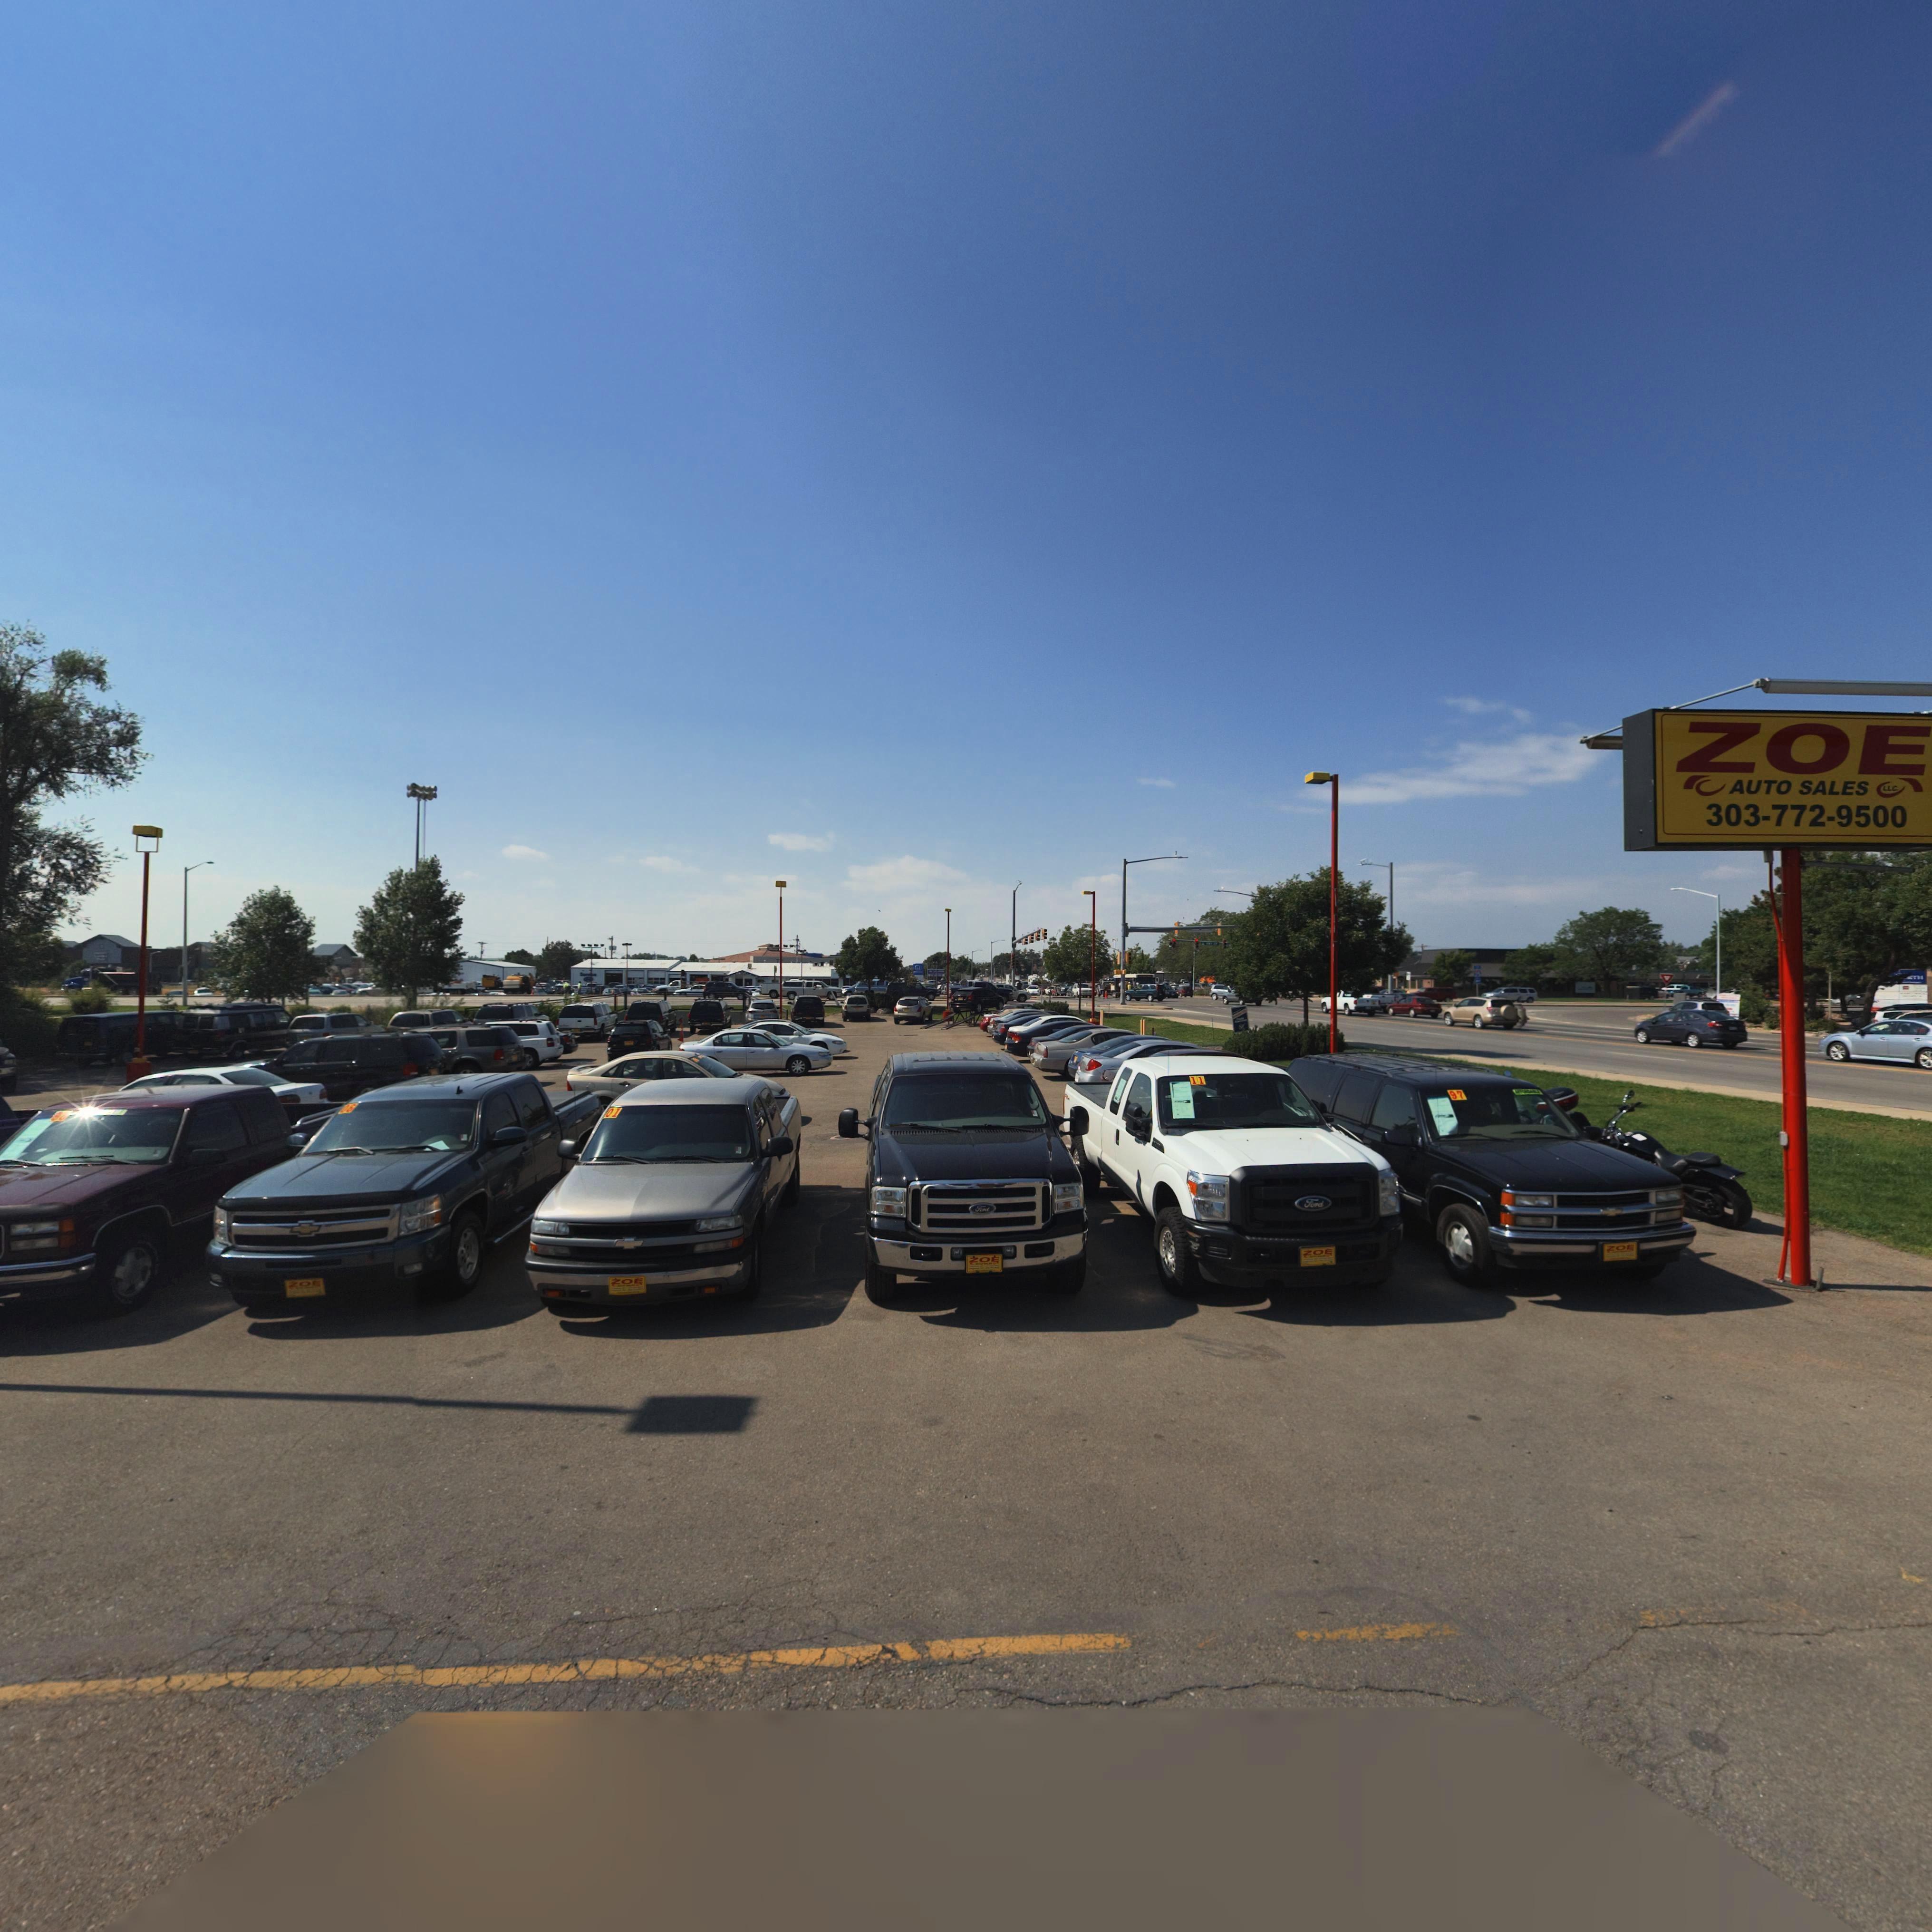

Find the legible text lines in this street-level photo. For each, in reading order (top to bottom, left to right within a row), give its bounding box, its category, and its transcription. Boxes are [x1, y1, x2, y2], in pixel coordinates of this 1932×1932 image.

[1674, 720, 1929, 777] BusinessName: ZOE
[1727, 778, 1871, 797] BusinessName: AUTO SALES